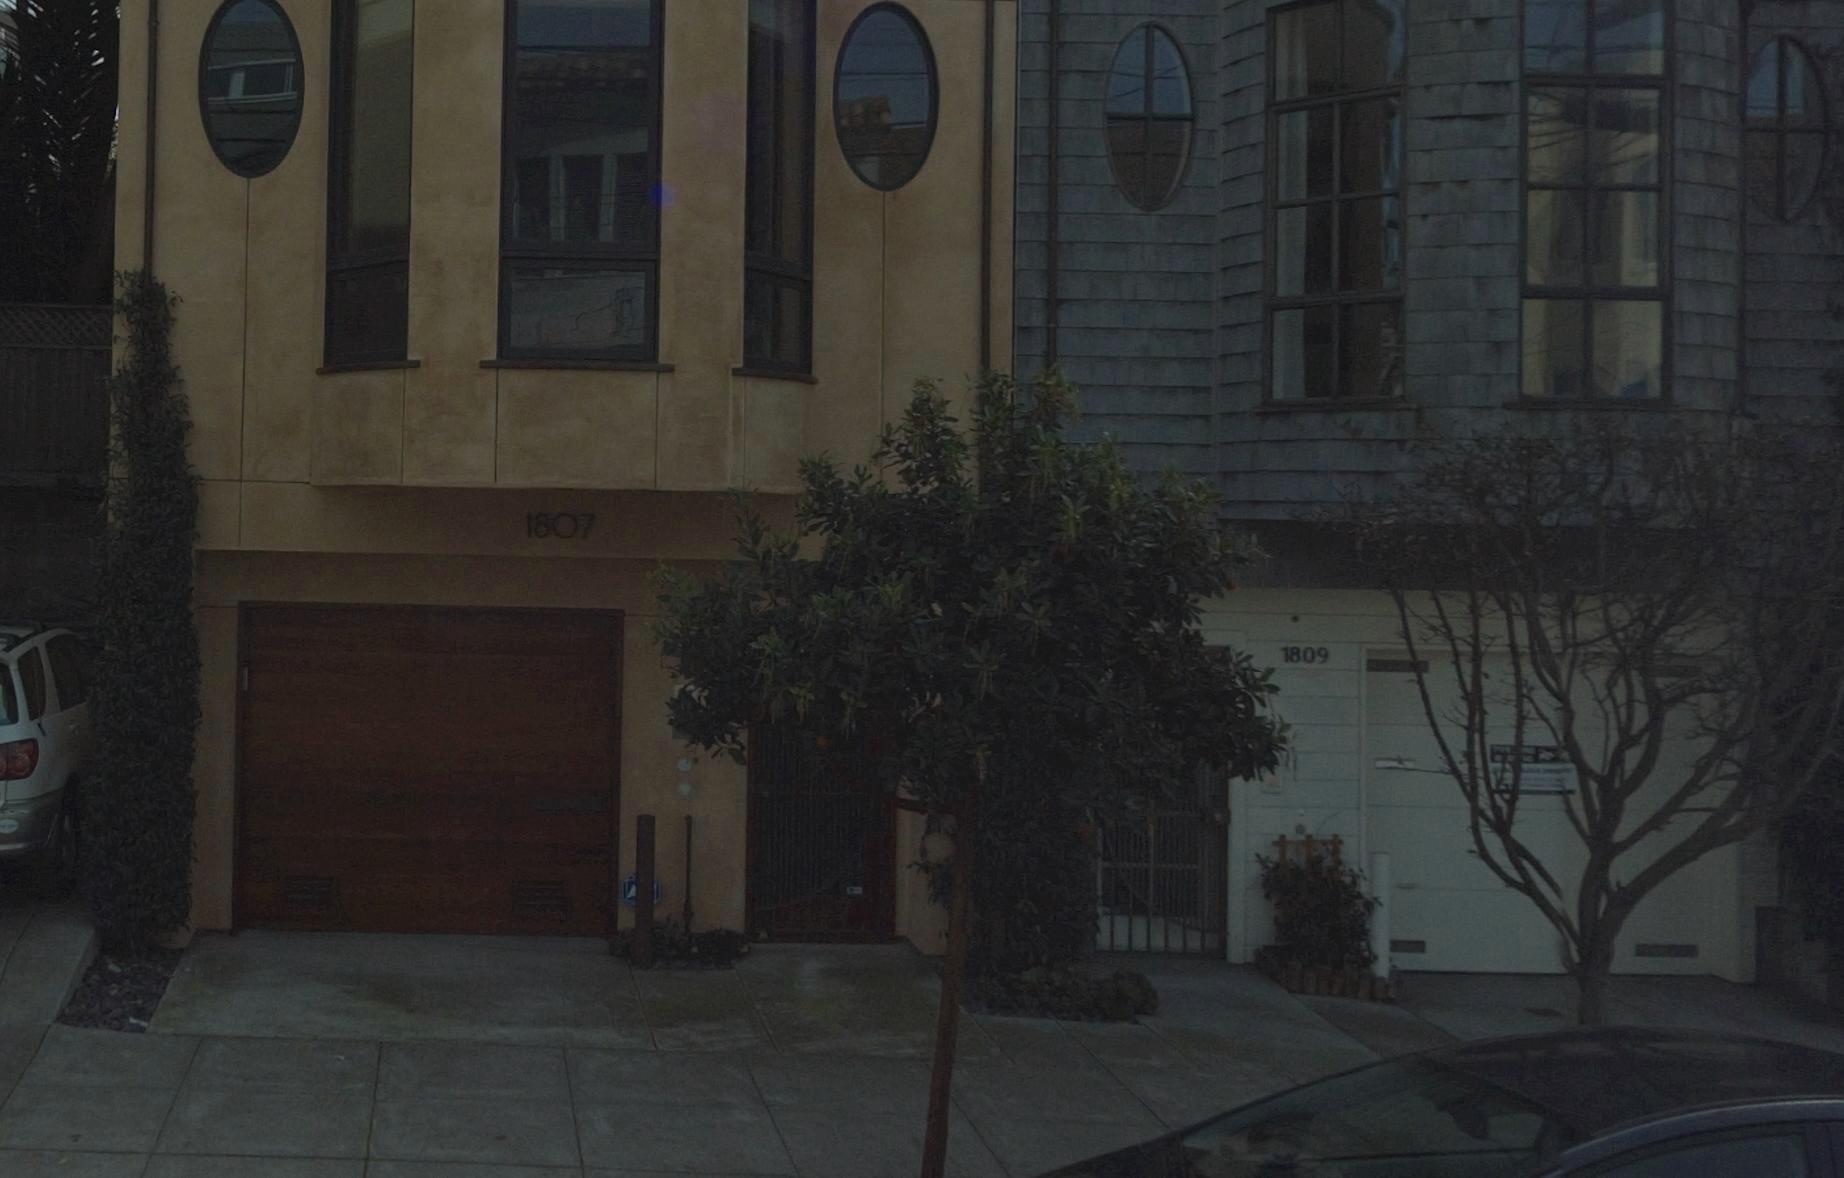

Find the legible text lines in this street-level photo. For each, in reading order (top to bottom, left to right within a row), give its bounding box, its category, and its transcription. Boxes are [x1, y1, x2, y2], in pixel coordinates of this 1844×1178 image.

[524, 511, 598, 541] StreetNumber: 1807
[1278, 644, 1331, 667] StreetNumber: 1809